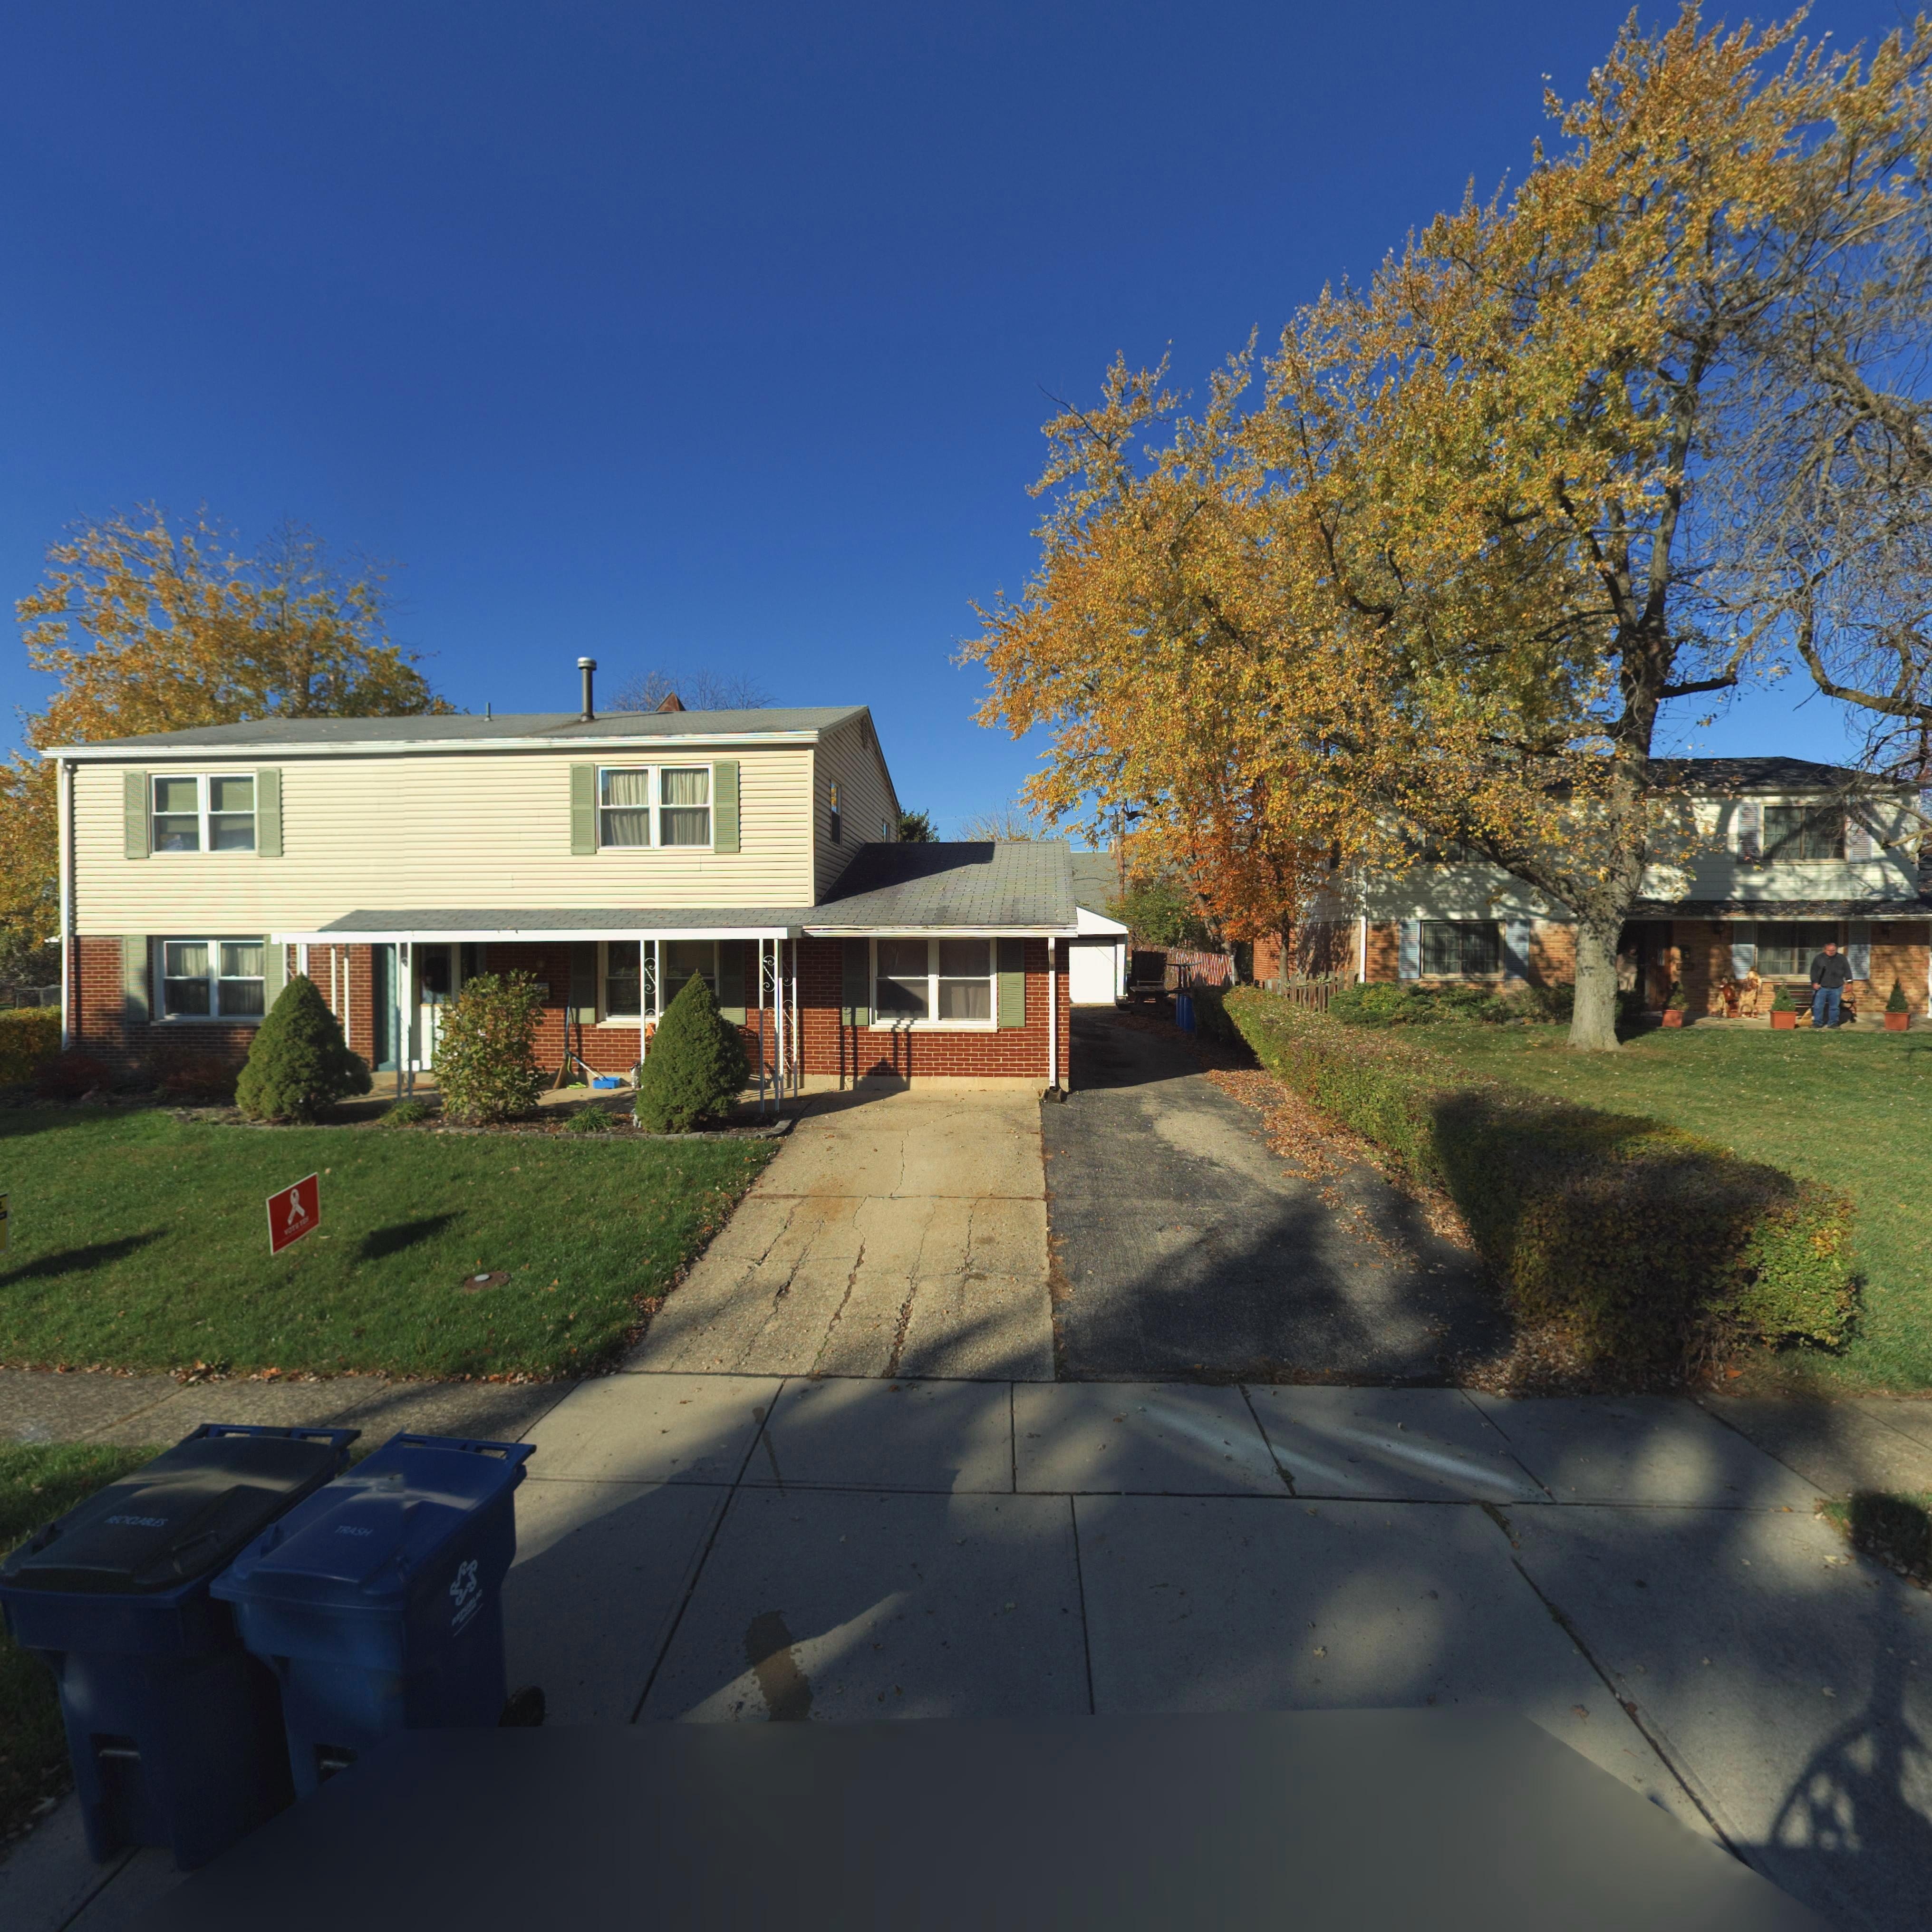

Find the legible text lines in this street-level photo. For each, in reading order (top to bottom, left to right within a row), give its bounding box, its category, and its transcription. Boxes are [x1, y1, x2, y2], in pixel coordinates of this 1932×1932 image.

[460, 957, 469, 986] StreetNumber: *9*